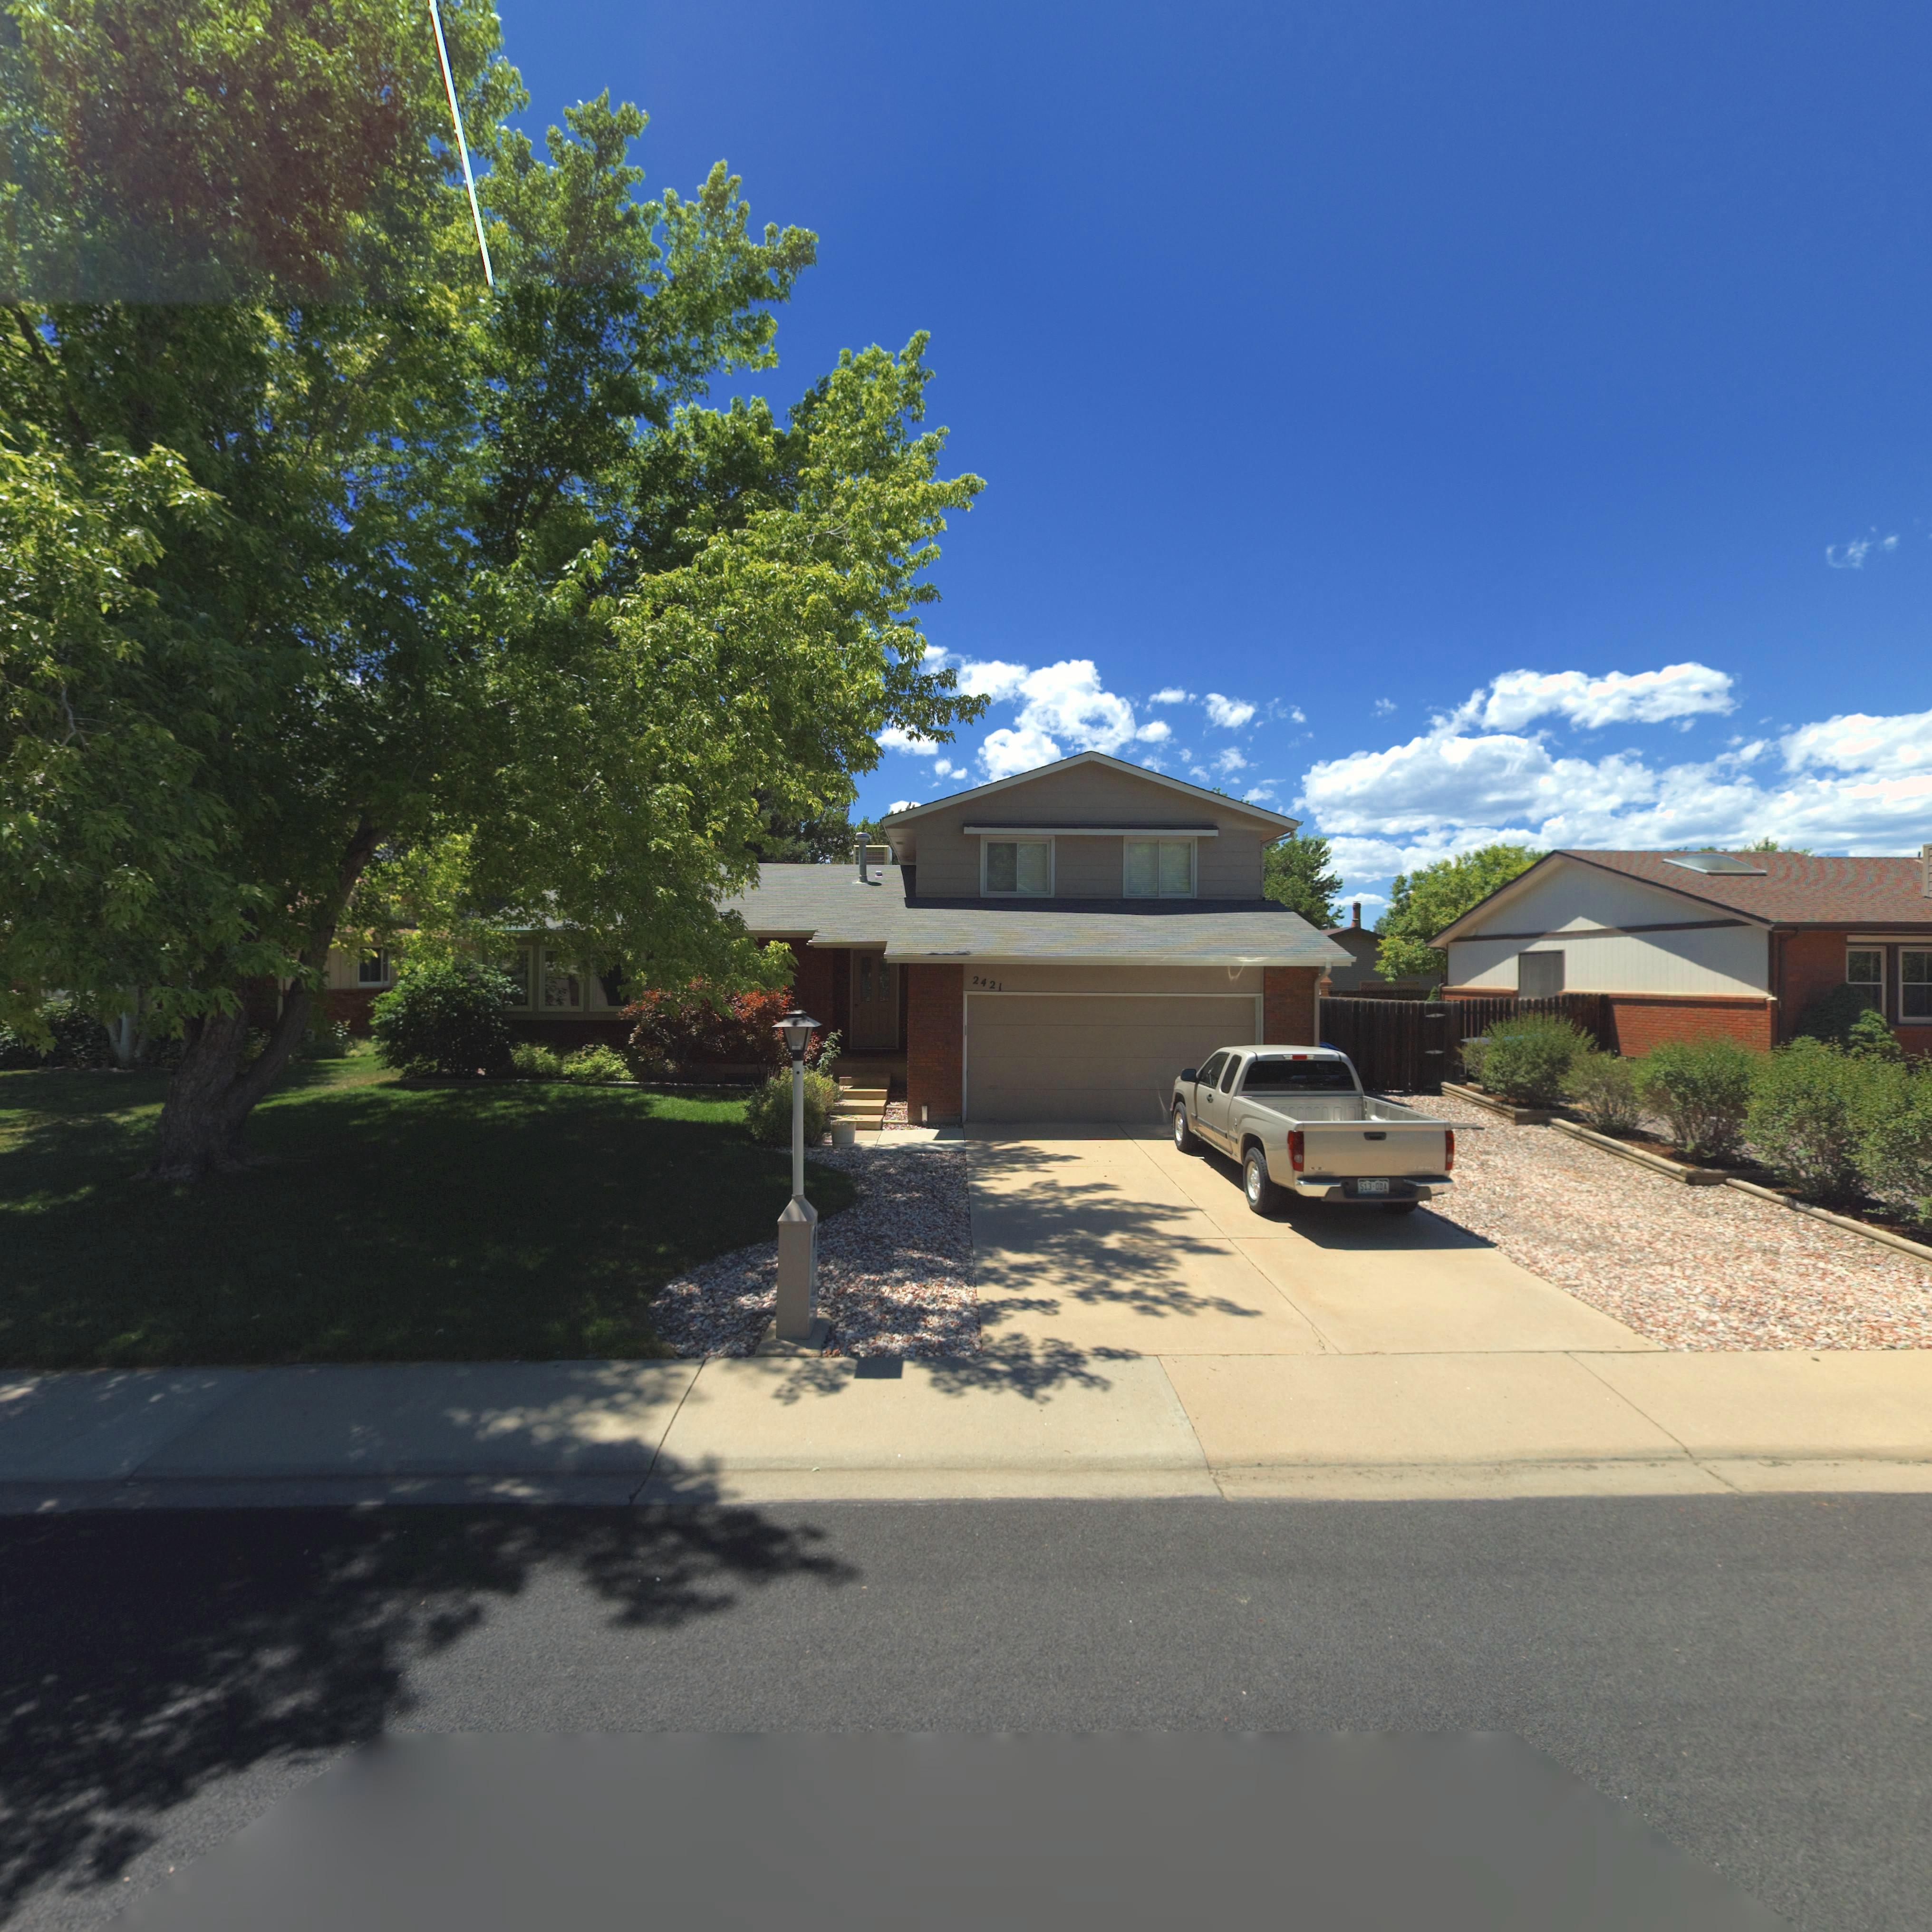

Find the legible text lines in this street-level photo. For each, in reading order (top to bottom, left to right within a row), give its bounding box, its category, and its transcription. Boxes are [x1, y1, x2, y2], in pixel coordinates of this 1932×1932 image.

[972, 976, 1002, 991] StreetNumber: 2421